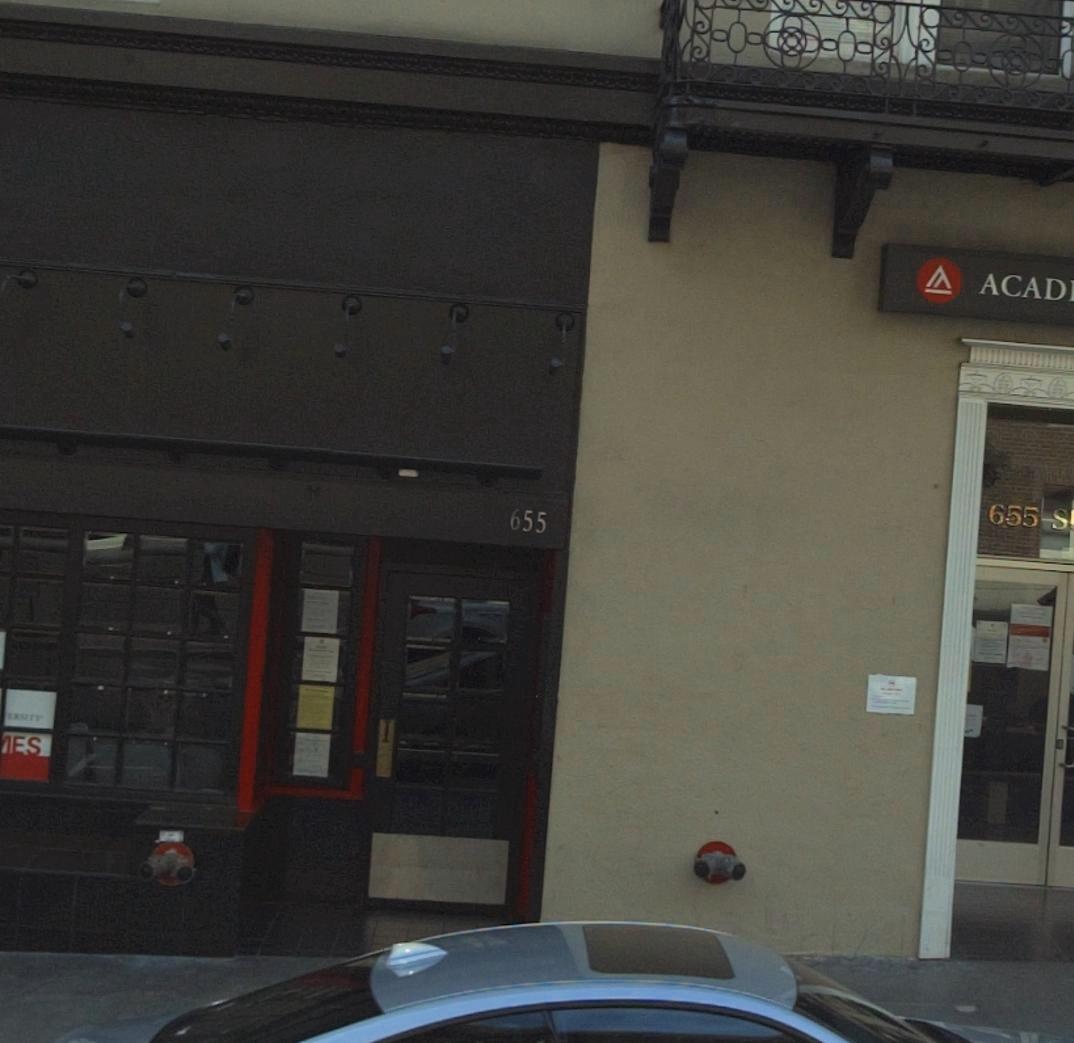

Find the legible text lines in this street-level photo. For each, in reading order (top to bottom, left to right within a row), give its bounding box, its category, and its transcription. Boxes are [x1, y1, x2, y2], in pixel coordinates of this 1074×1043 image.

[974, 267, 1073, 306] BusinessName: ACAD
[505, 504, 553, 539] StreetNumber: 655
[984, 498, 1043, 533] StreetNumber: 655
[1048, 502, 1070, 536] StreetName: S
[8, 730, 44, 761] None: ES